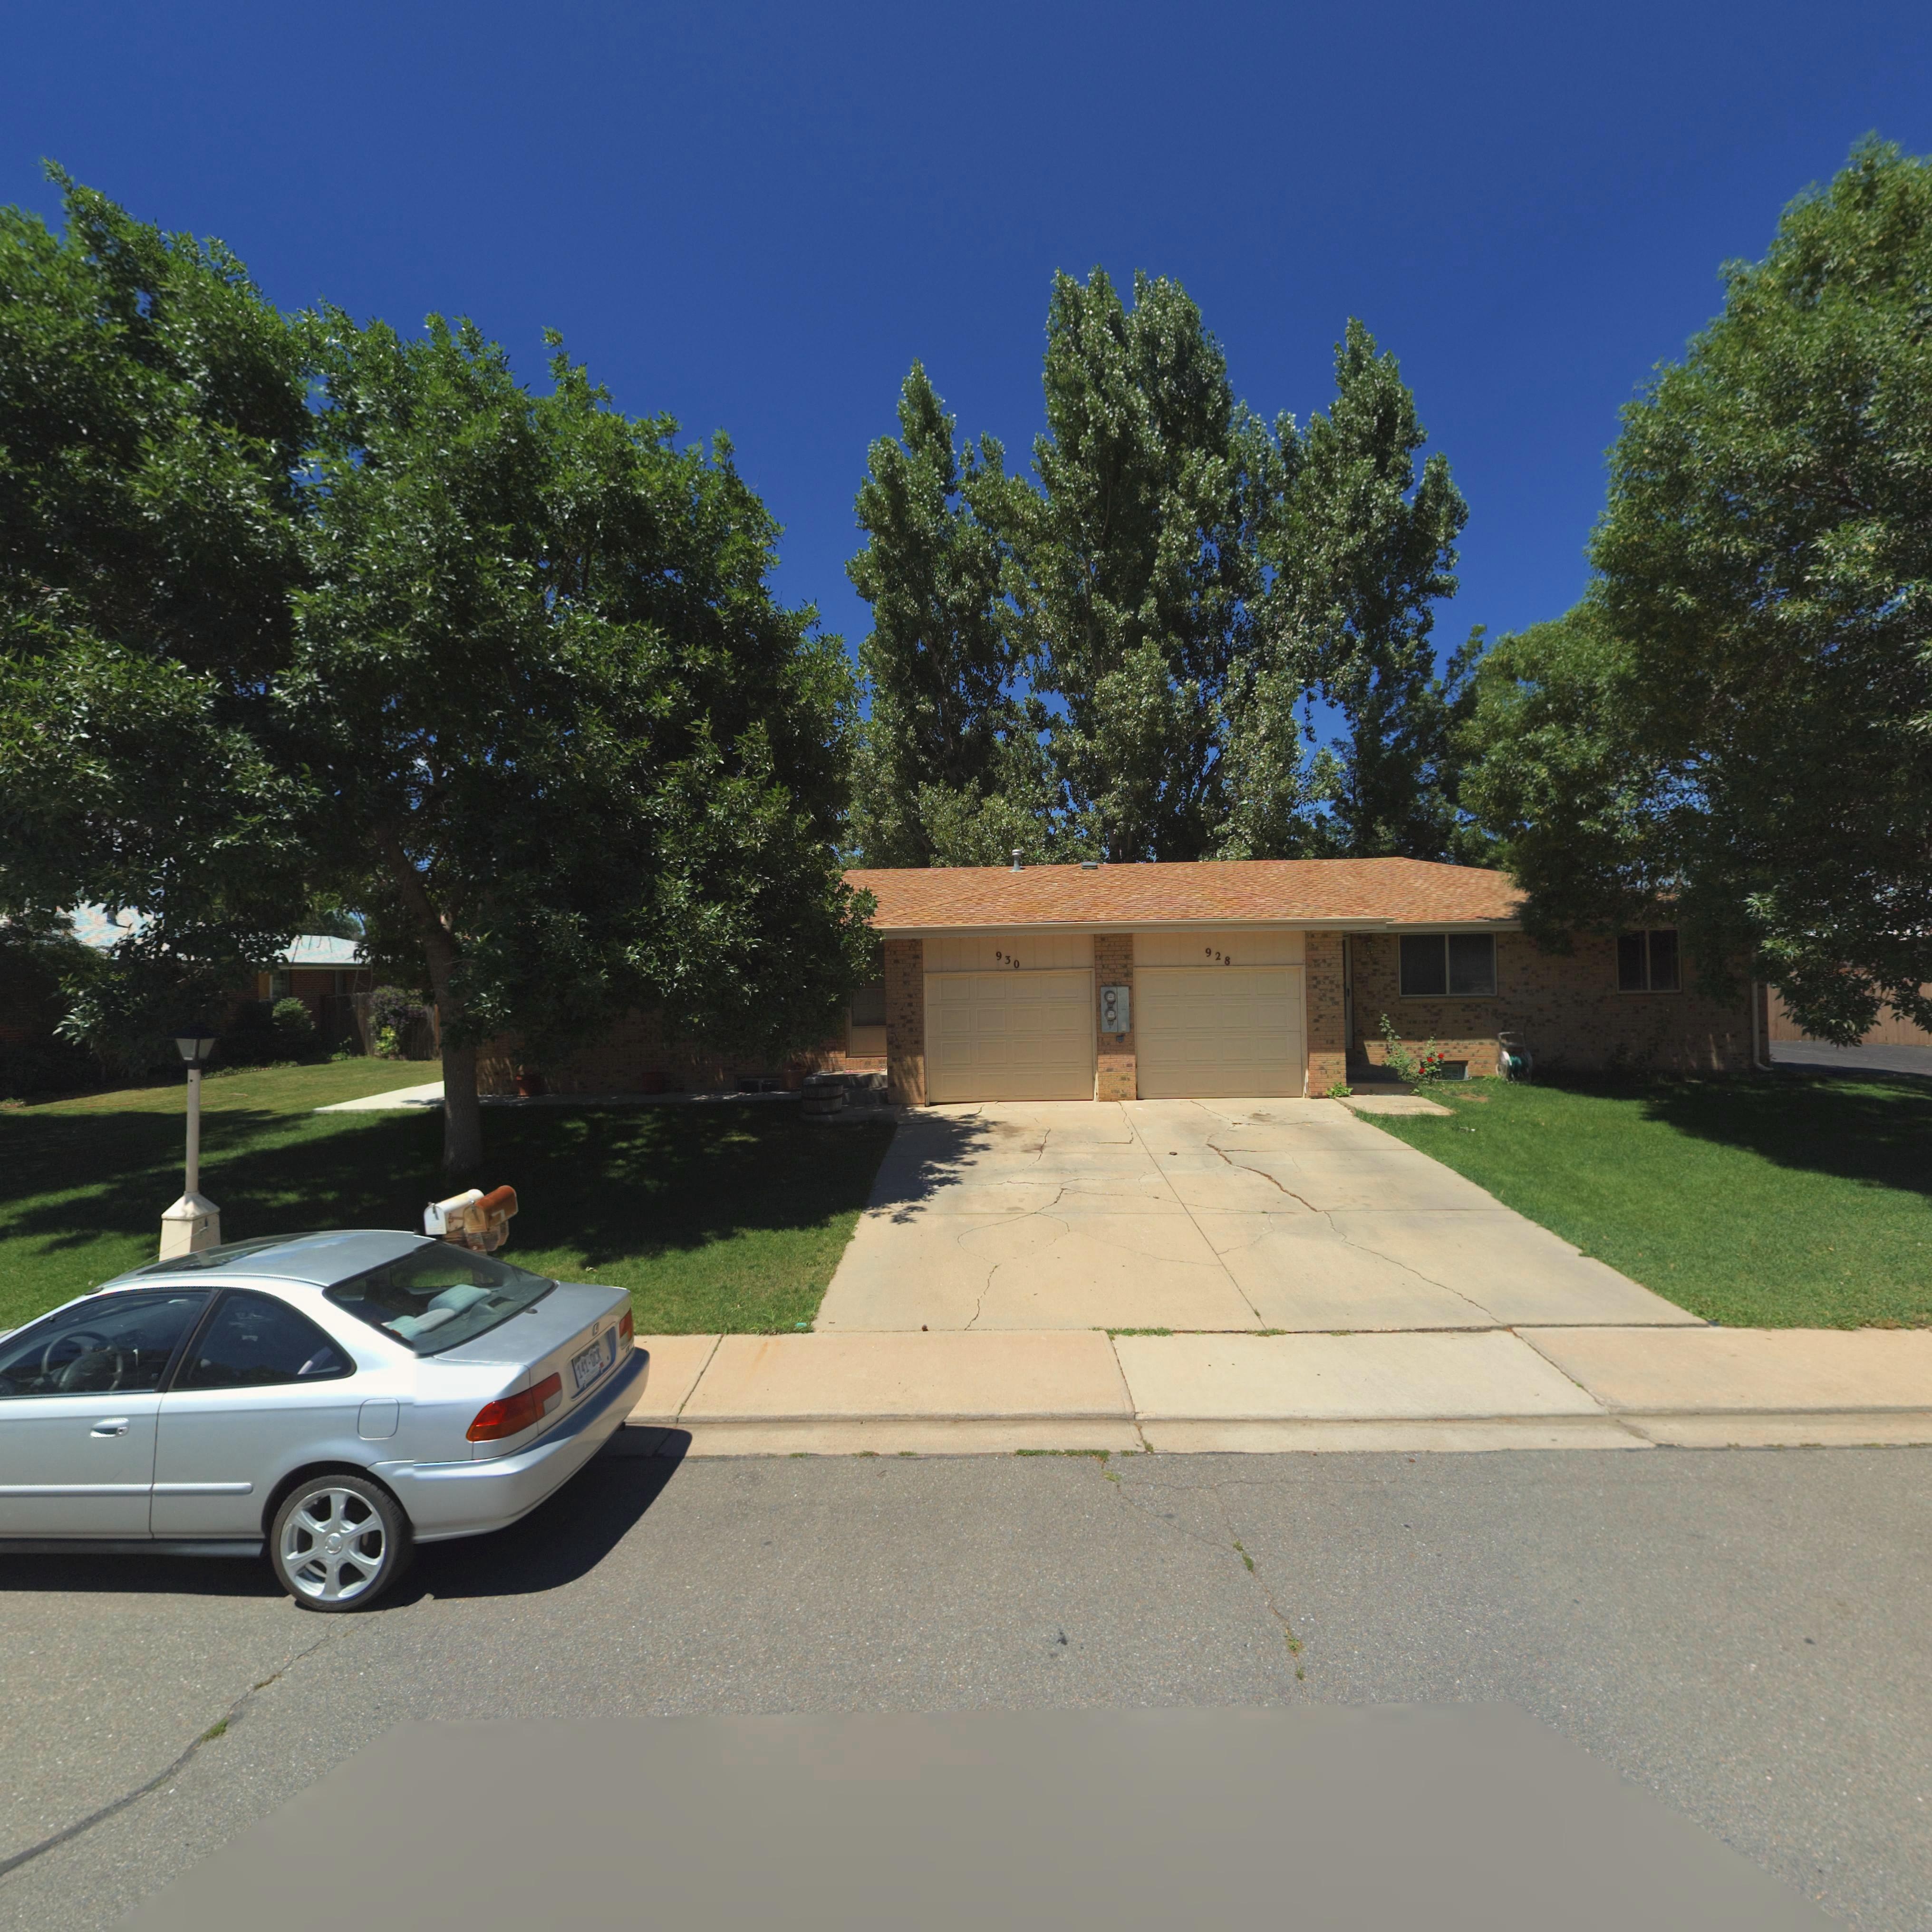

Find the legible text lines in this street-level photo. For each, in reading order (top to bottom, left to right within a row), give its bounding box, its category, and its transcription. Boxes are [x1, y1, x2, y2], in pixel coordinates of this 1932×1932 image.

[995, 951, 1020, 968] StreetNumber: 930
[1205, 947, 1230, 966] StreetNumber: 928